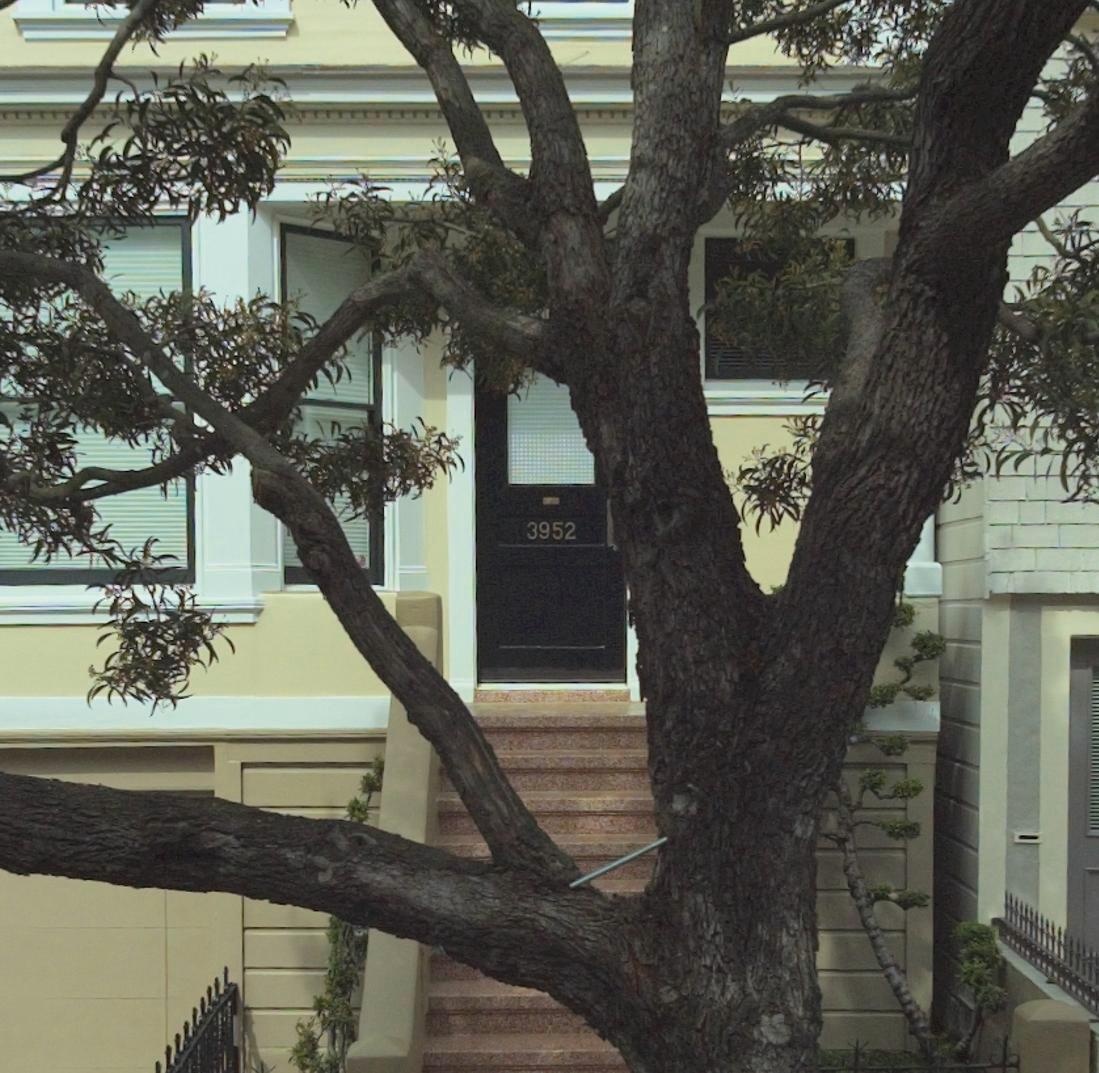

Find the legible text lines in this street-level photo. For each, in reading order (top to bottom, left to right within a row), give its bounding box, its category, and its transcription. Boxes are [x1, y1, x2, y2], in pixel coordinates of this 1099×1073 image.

[526, 521, 577, 540] StreetNumber: 3952